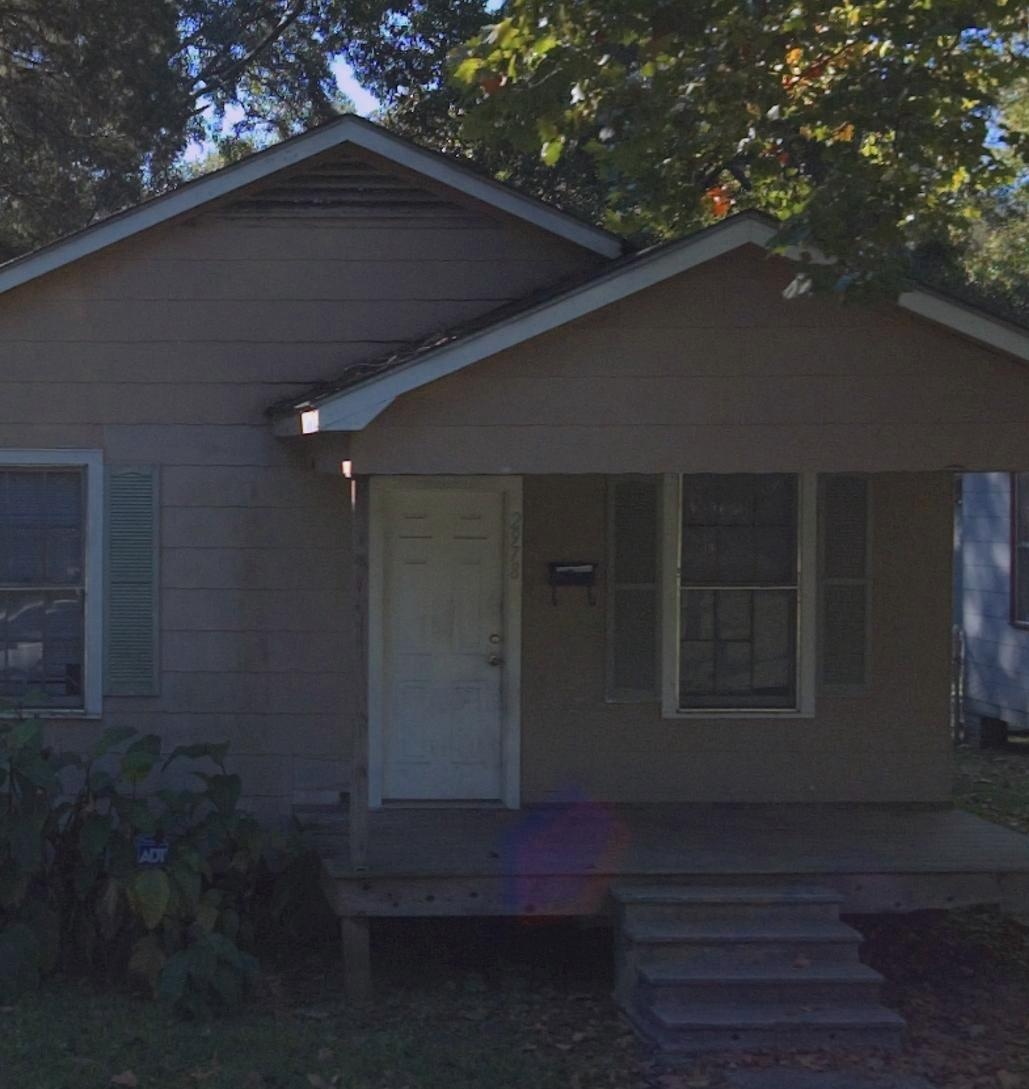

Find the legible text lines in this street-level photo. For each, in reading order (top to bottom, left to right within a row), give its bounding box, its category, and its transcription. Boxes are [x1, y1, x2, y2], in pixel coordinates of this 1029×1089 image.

[507, 509, 523, 582] StreetNumber: 2978